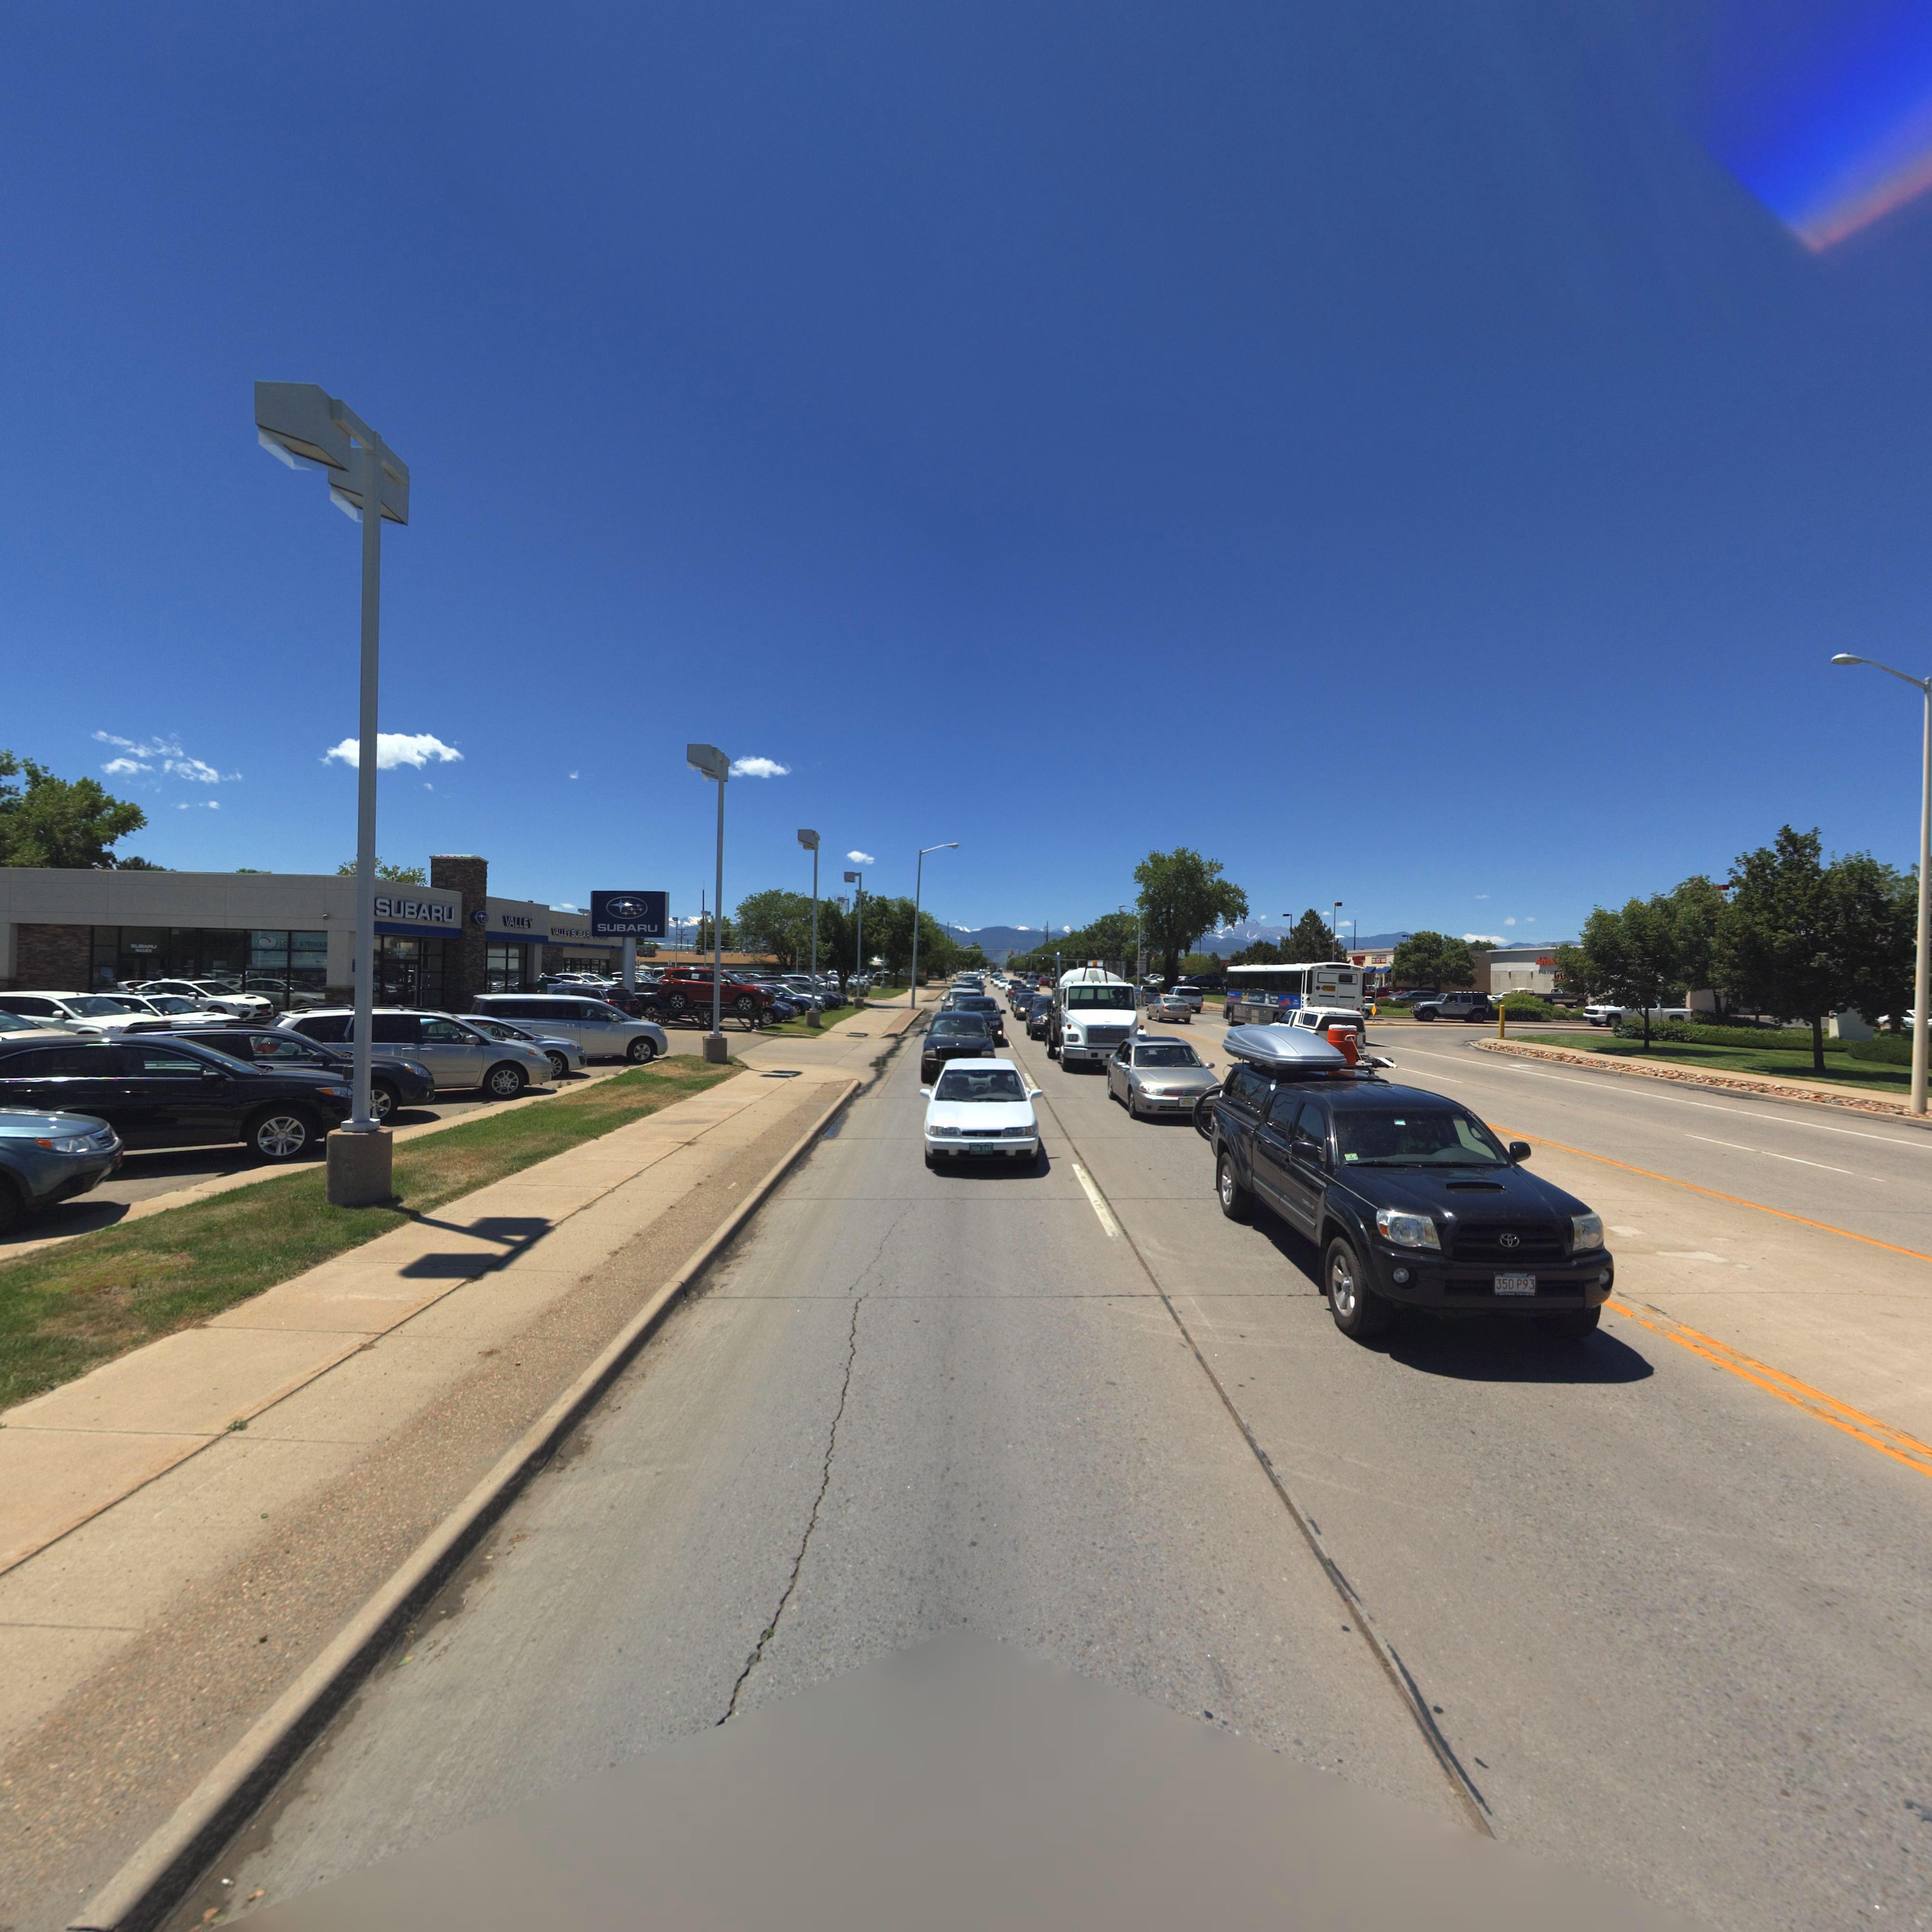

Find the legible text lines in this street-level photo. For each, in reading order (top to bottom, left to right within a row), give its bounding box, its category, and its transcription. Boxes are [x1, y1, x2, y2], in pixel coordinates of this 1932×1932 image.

[375, 898, 455, 923] BusinessName: SUBARU
[504, 916, 534, 928] BusinessName: VALLEY
[597, 923, 657, 932] BusinessName: SUBARU
[551, 927, 611, 940] BusinessName: VALLEY SUBAR* *******
[131, 944, 157, 949] BusinessName: SUBARU
[135, 948, 153, 953] BusinessName: SALES
[1535, 956, 1554, 965] BusinessName: Advan